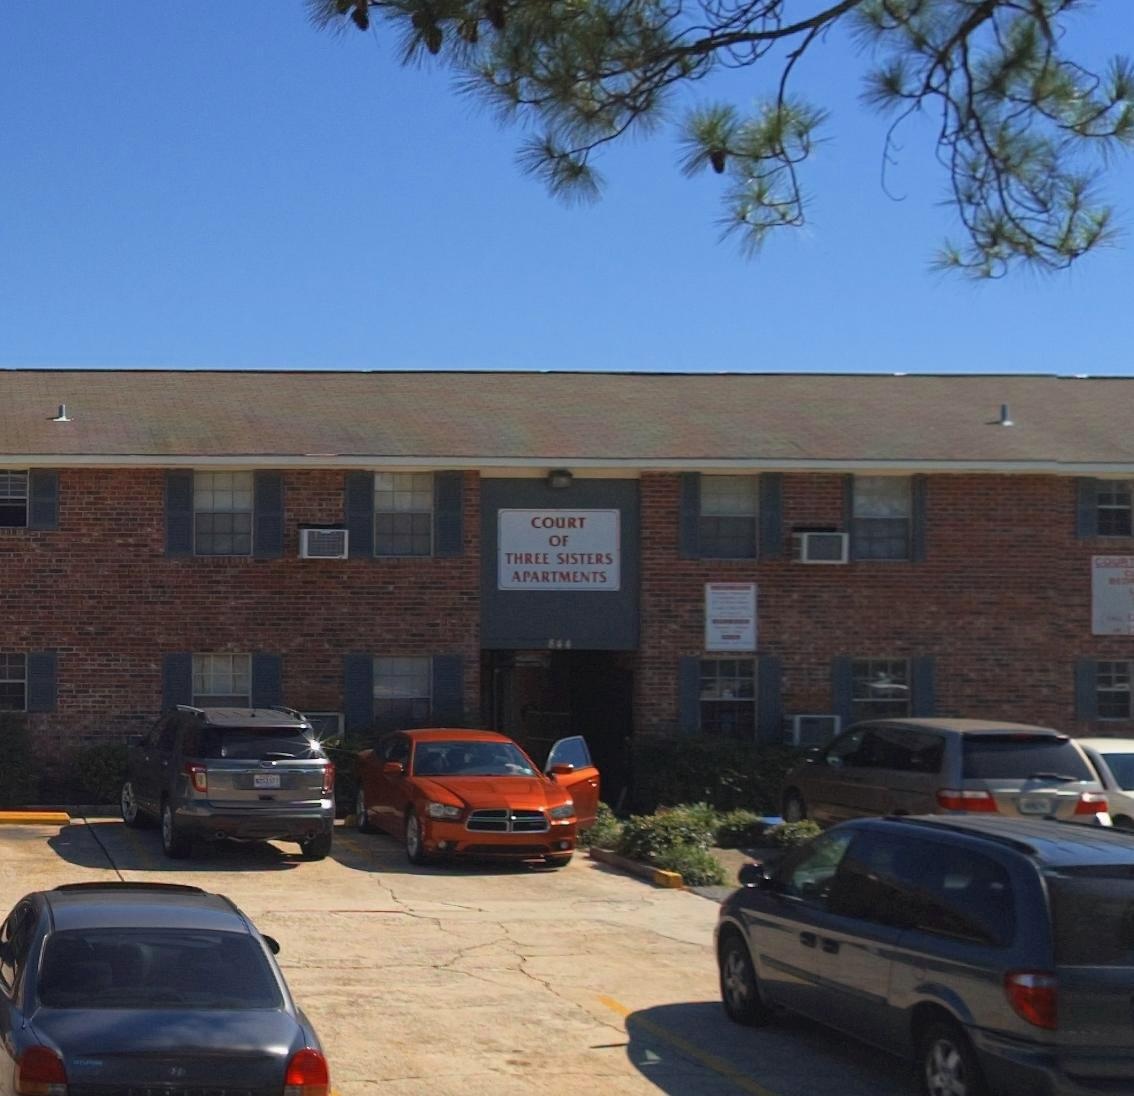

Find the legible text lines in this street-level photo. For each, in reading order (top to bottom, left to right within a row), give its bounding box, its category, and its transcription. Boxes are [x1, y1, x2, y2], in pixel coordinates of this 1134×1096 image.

[529, 514, 589, 531] BusinessName: COURT
[546, 533, 571, 549] BusinessName: OF
[503, 550, 617, 567] BusinessName: THREE SISTERS
[506, 568, 610, 585] BusinessName: APARTMENTS
[545, 636, 575, 652] StreetNumber: *44